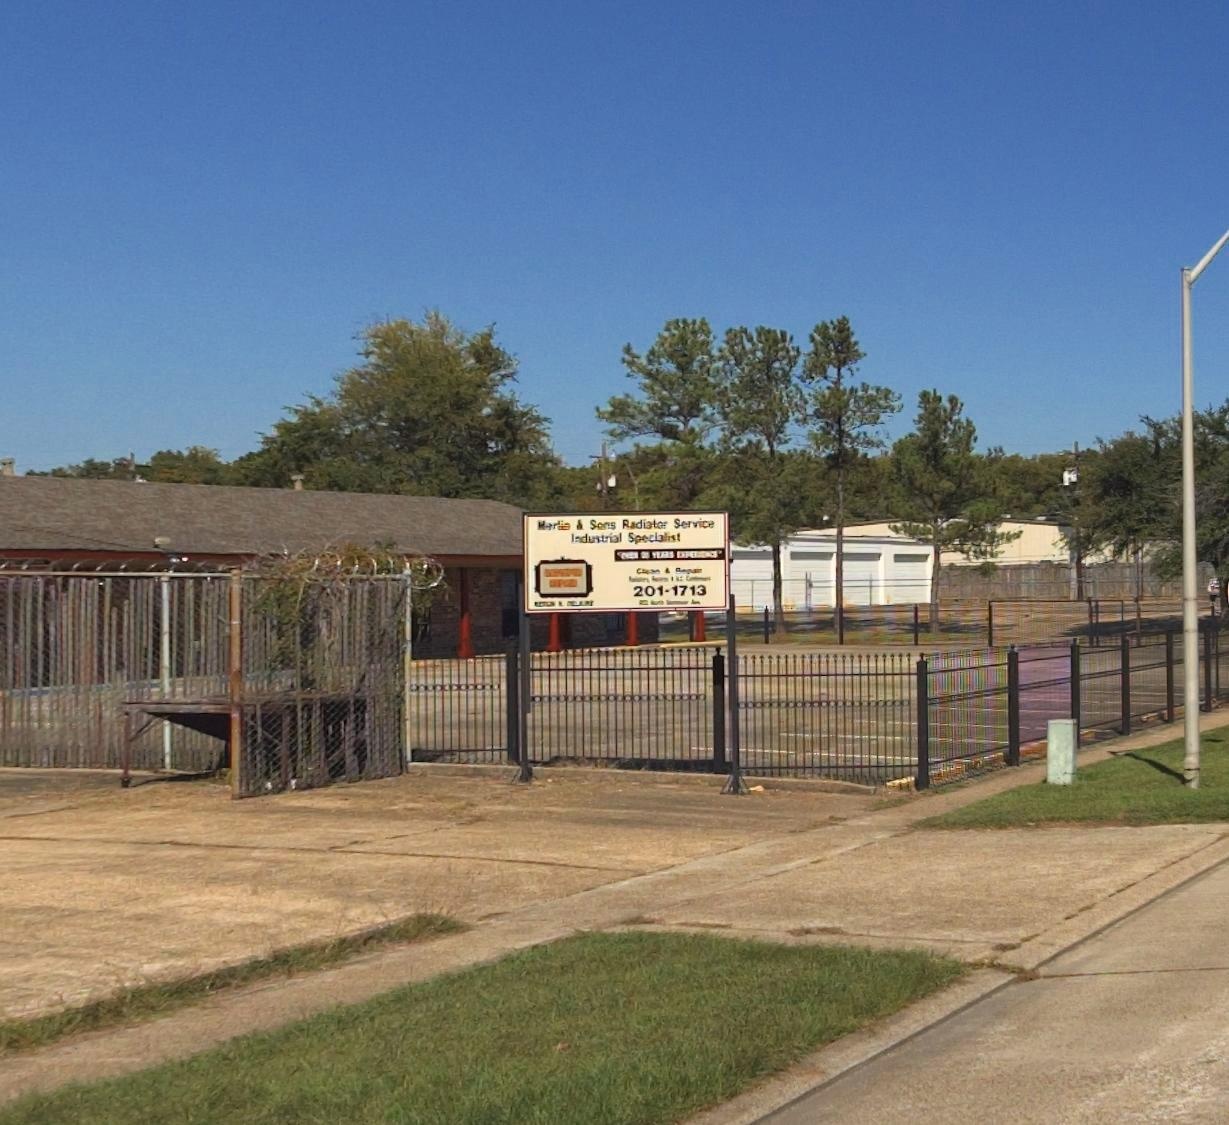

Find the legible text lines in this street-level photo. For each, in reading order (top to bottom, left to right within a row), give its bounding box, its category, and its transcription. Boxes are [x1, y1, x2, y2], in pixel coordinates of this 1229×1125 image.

[535, 516, 717, 533] BusinessName: M***in & Sons Radiator Service 